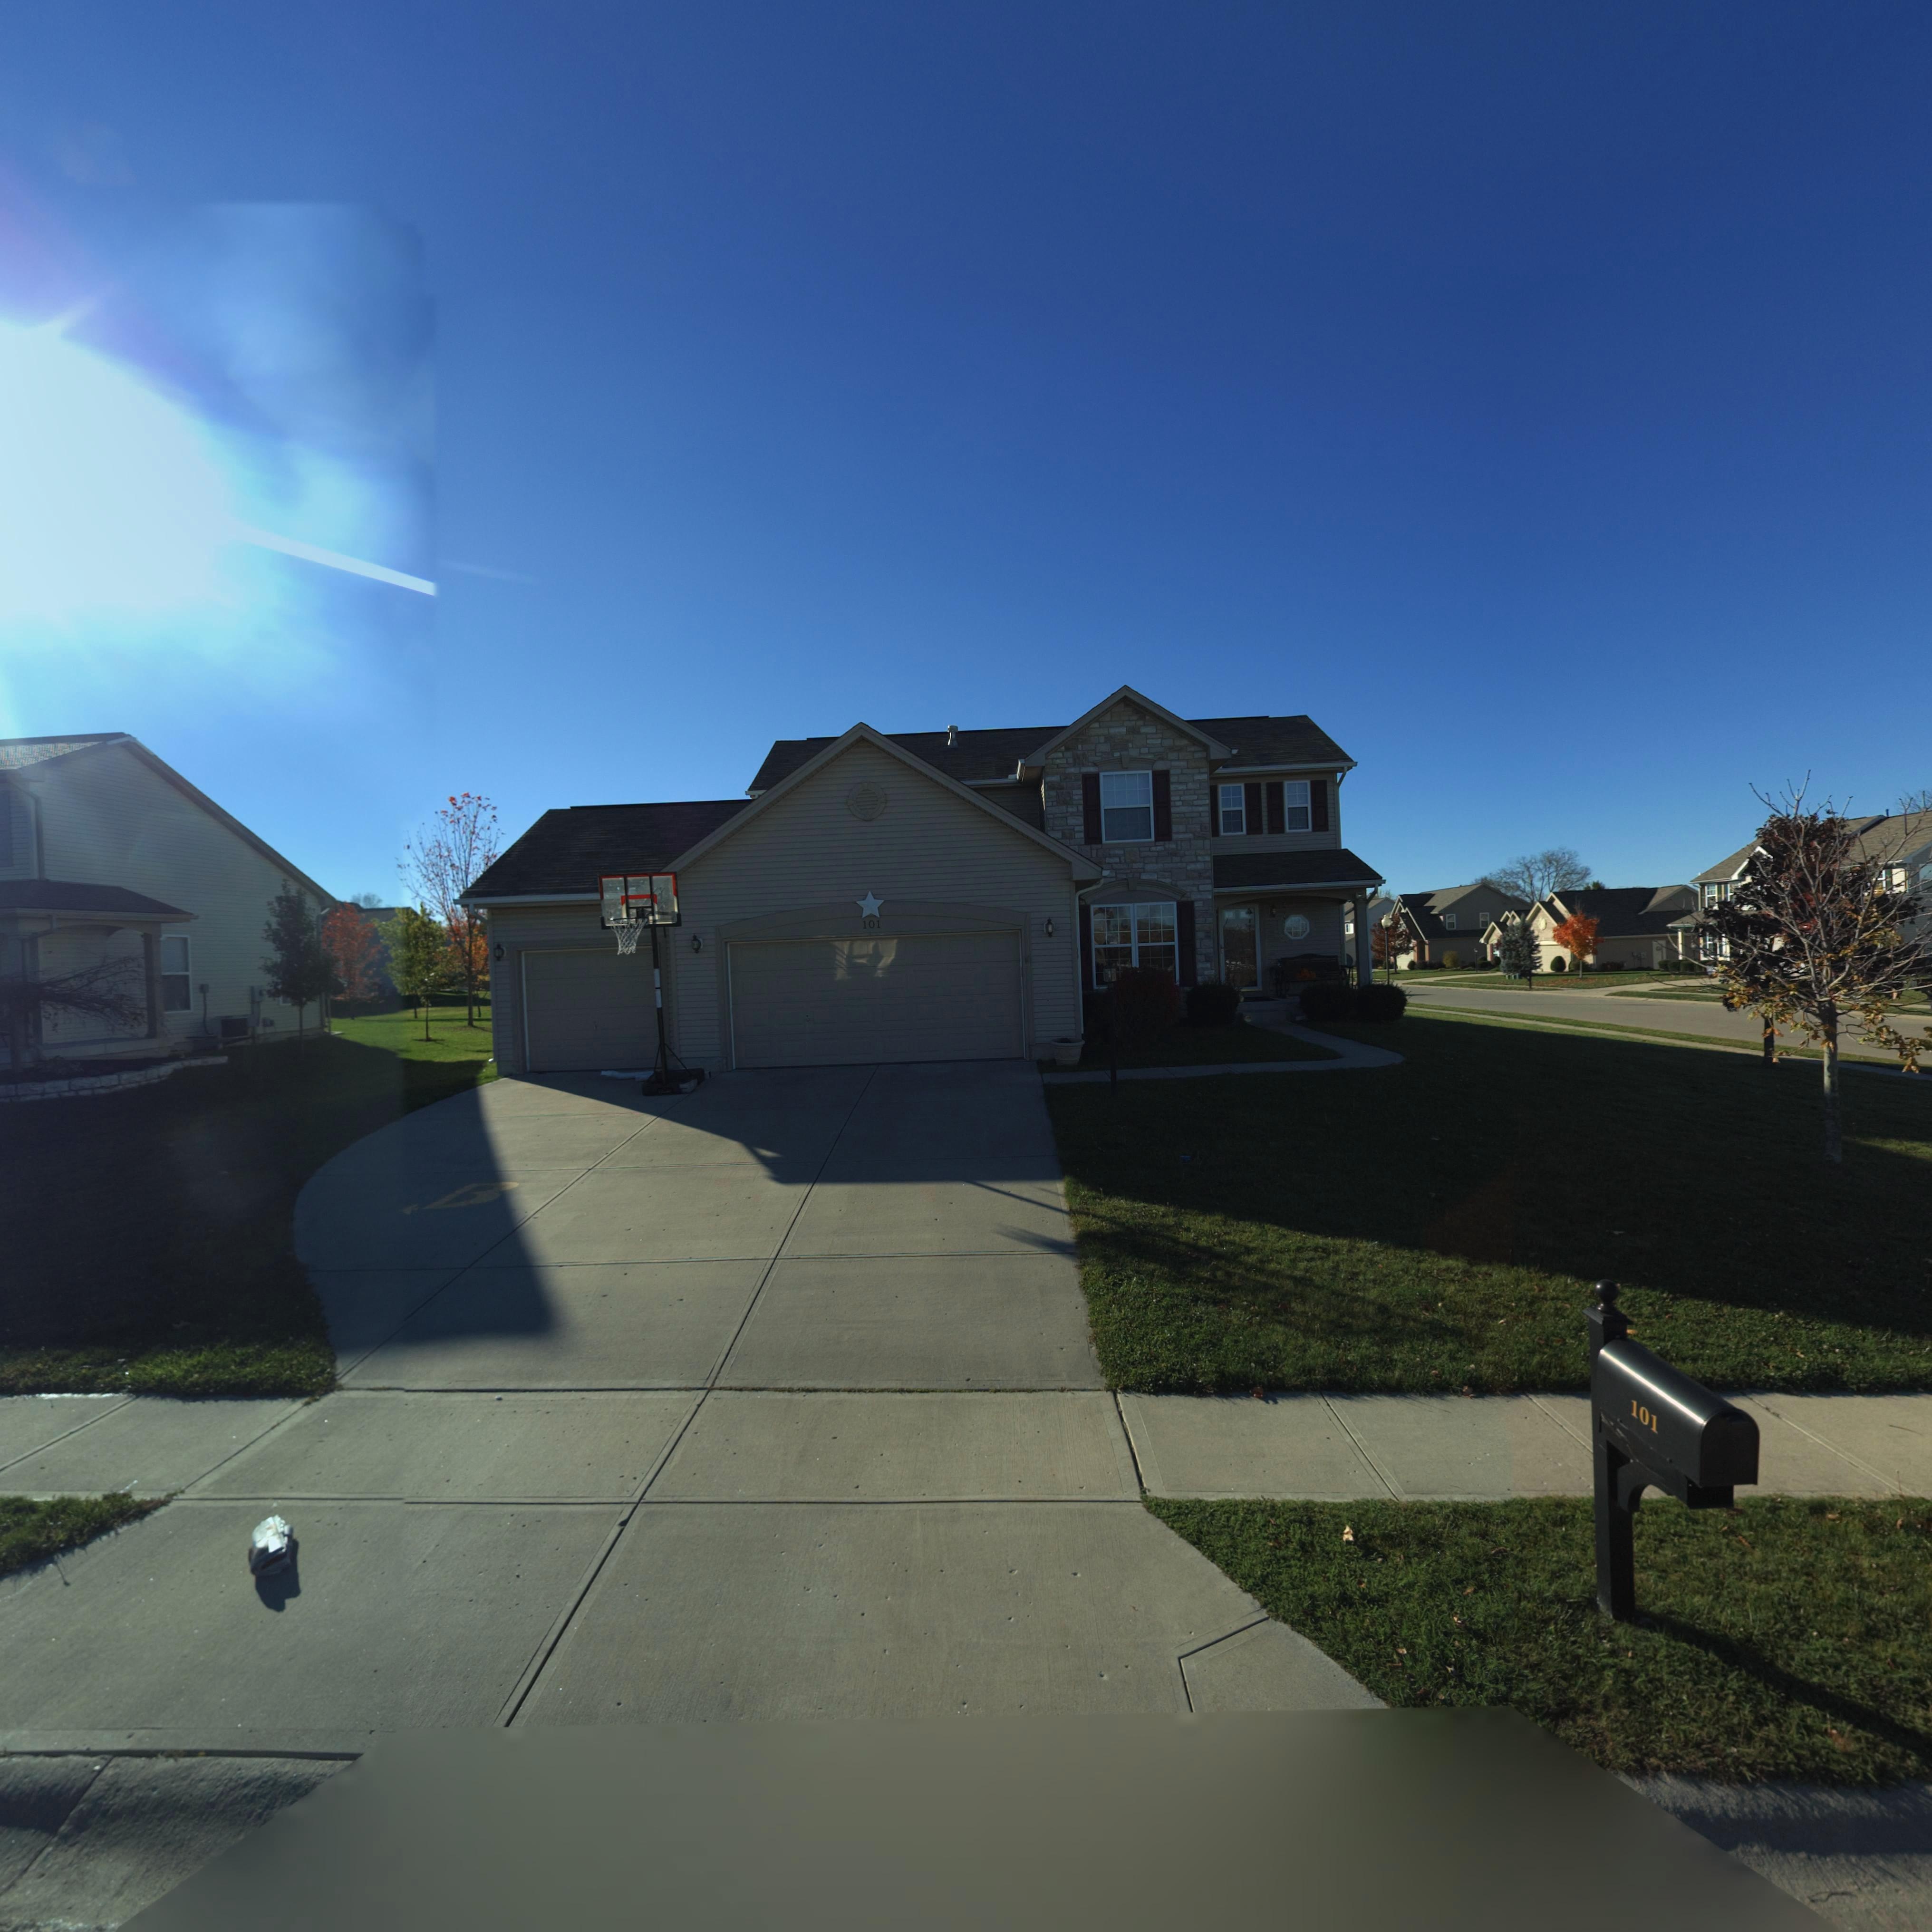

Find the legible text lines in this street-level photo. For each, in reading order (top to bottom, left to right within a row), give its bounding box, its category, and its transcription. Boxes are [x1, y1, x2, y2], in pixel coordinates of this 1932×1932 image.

[862, 918, 881, 930] StreetNumber: 101
[1629, 1398, 1659, 1437] StreetNumber: 101